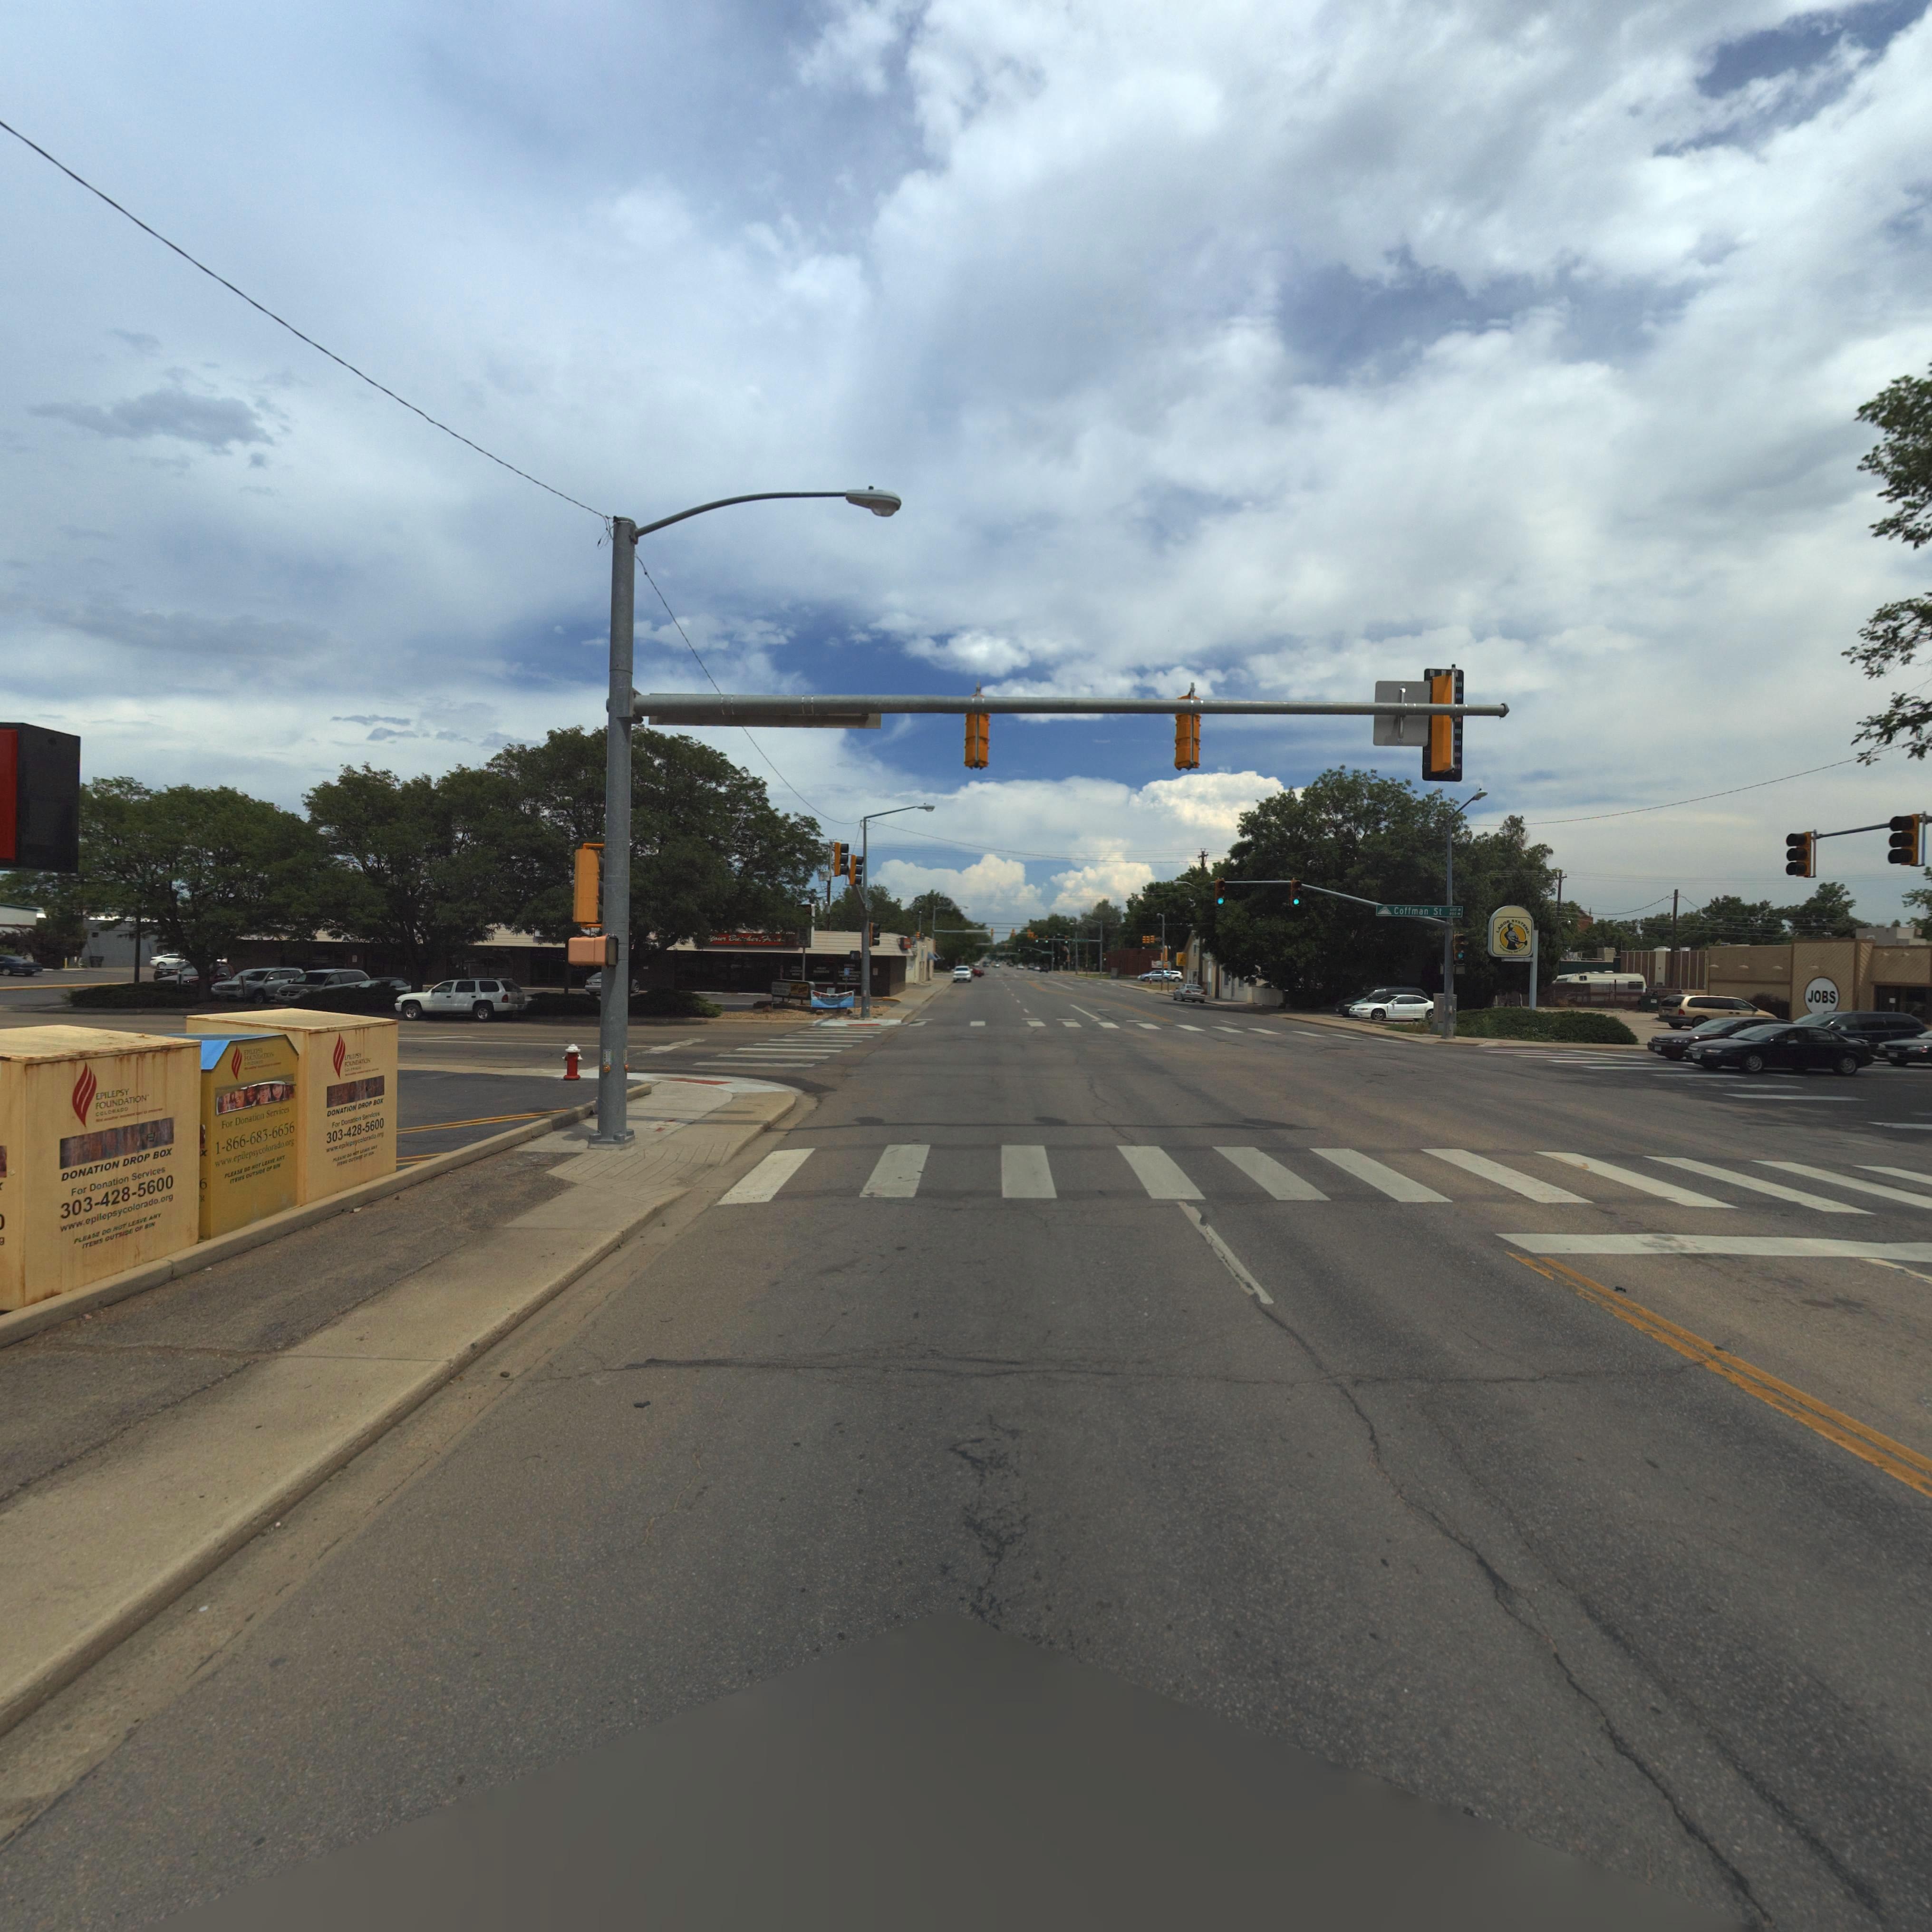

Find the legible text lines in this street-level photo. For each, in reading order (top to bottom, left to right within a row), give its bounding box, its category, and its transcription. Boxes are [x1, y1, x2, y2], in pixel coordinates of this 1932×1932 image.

[1393, 906, 1442, 915] StreetName: Coffman St
[1449, 908, 1457, 911] StreetNumberRange: 600
[1449, 911, 1461, 916] StreetNumberRange: *00->
[1495, 919, 1530, 934] BusinessName: LABOR SYSTEMS
[706, 933, 782, 943] BusinessName: Your Bu**her, F***